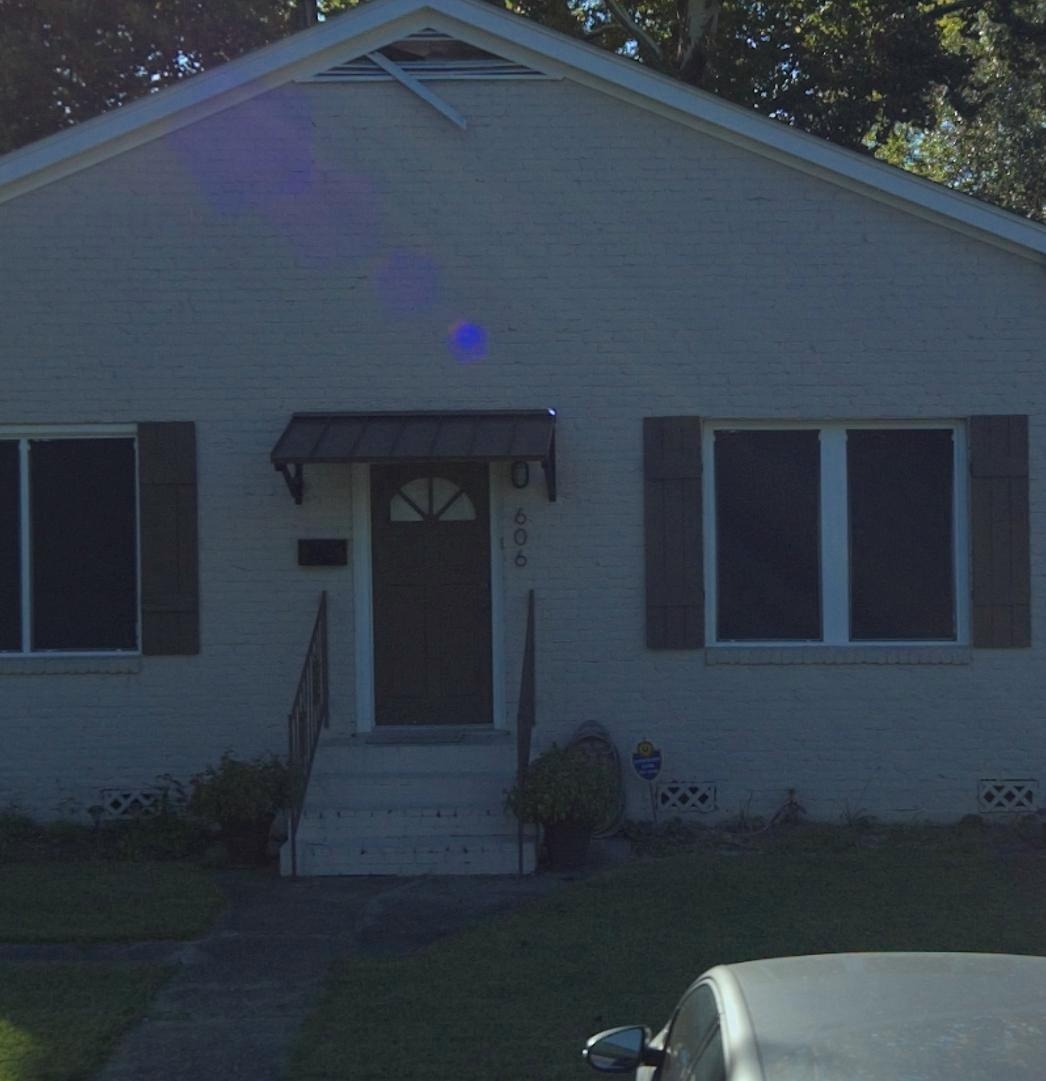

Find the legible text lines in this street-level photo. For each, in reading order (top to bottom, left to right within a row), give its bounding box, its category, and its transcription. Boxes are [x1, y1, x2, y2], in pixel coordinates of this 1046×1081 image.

[512, 504, 530, 569] StreetNumber: 606